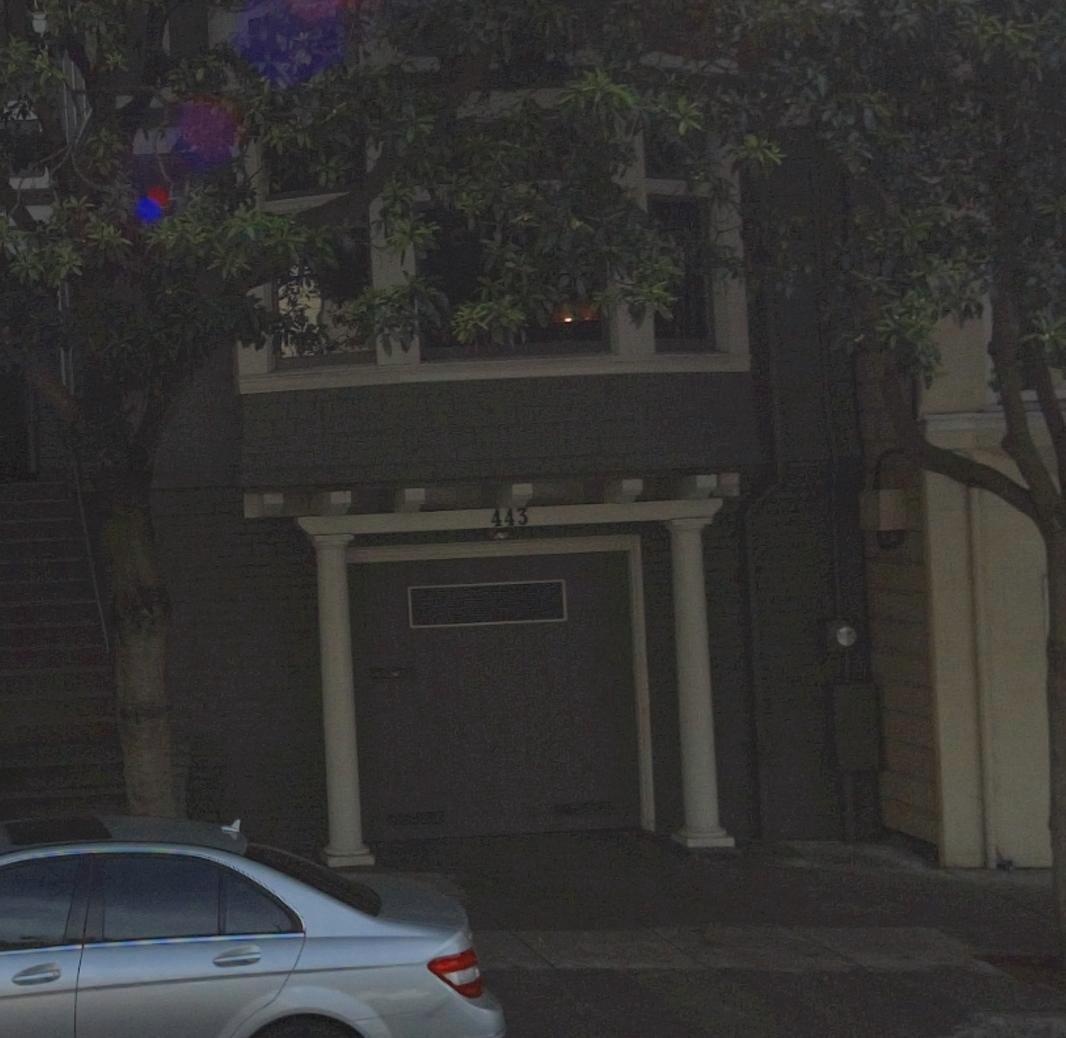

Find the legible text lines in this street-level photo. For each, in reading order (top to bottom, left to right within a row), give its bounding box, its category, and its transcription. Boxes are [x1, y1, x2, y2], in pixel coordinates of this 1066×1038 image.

[490, 507, 529, 527] StreetNumber: 443